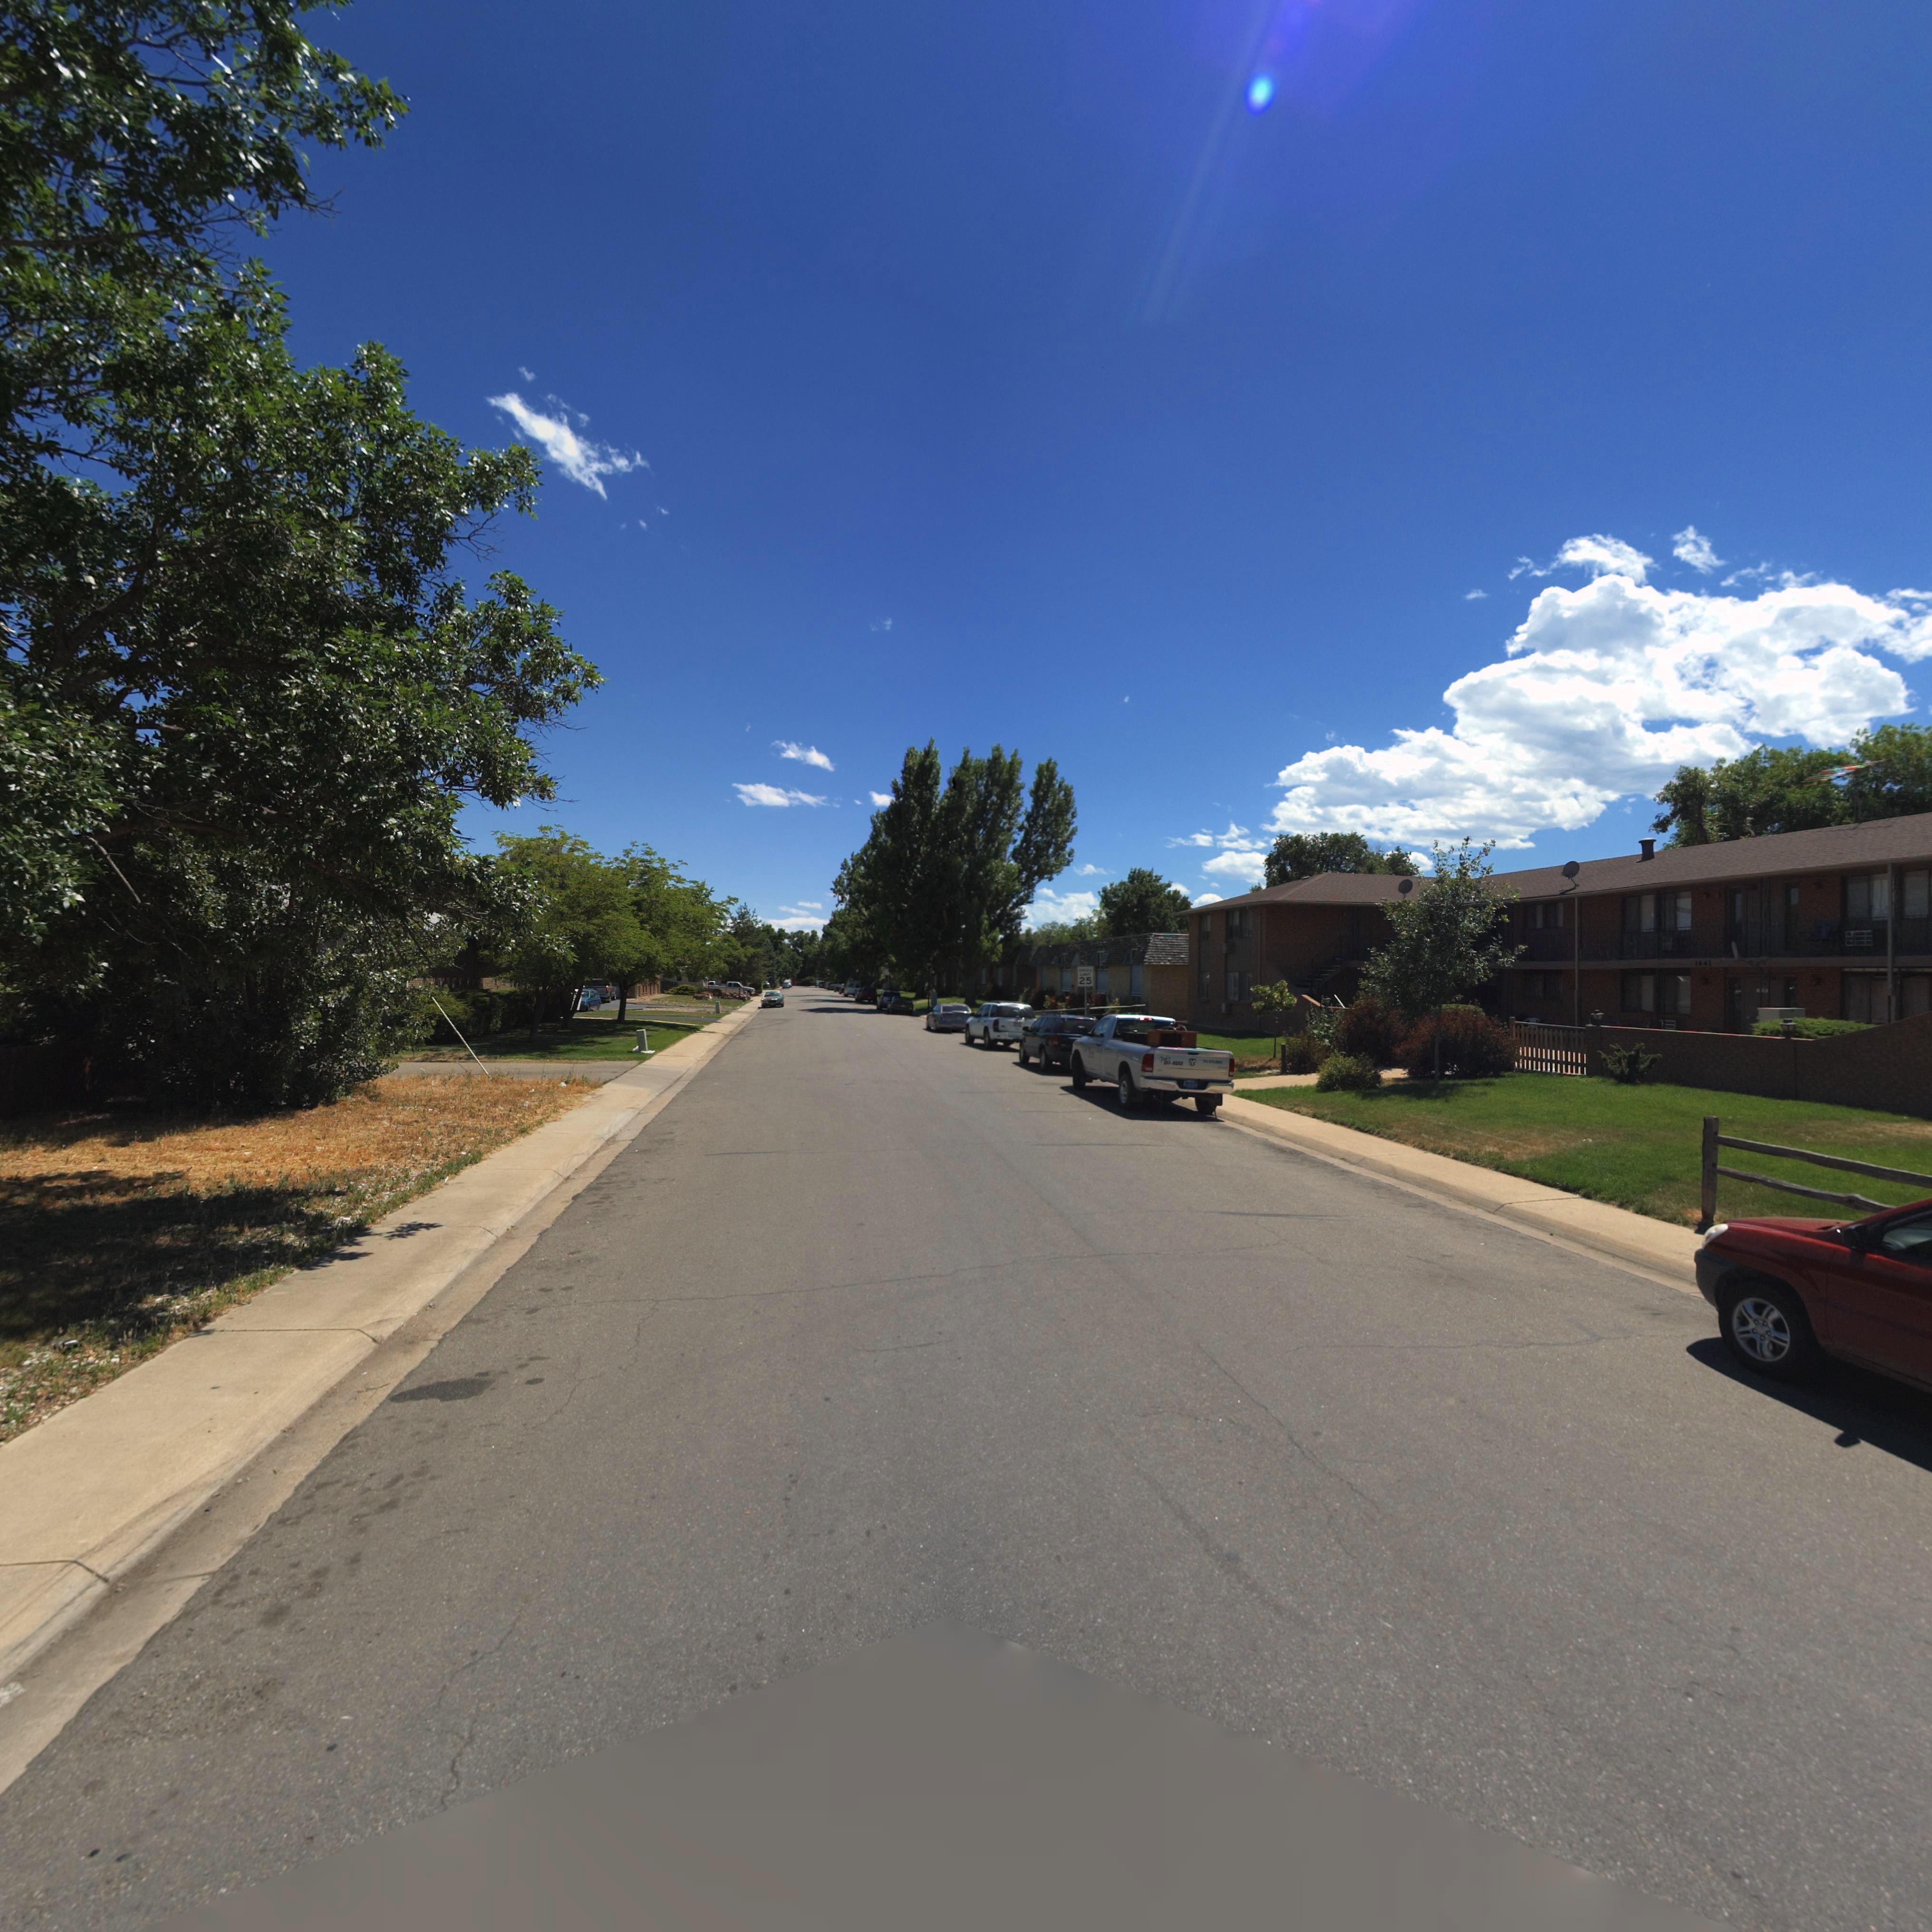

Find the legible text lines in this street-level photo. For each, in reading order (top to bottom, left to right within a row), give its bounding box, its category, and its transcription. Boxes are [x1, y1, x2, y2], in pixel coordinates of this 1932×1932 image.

[1695, 959, 1711, 966] StreetNumber: 1441